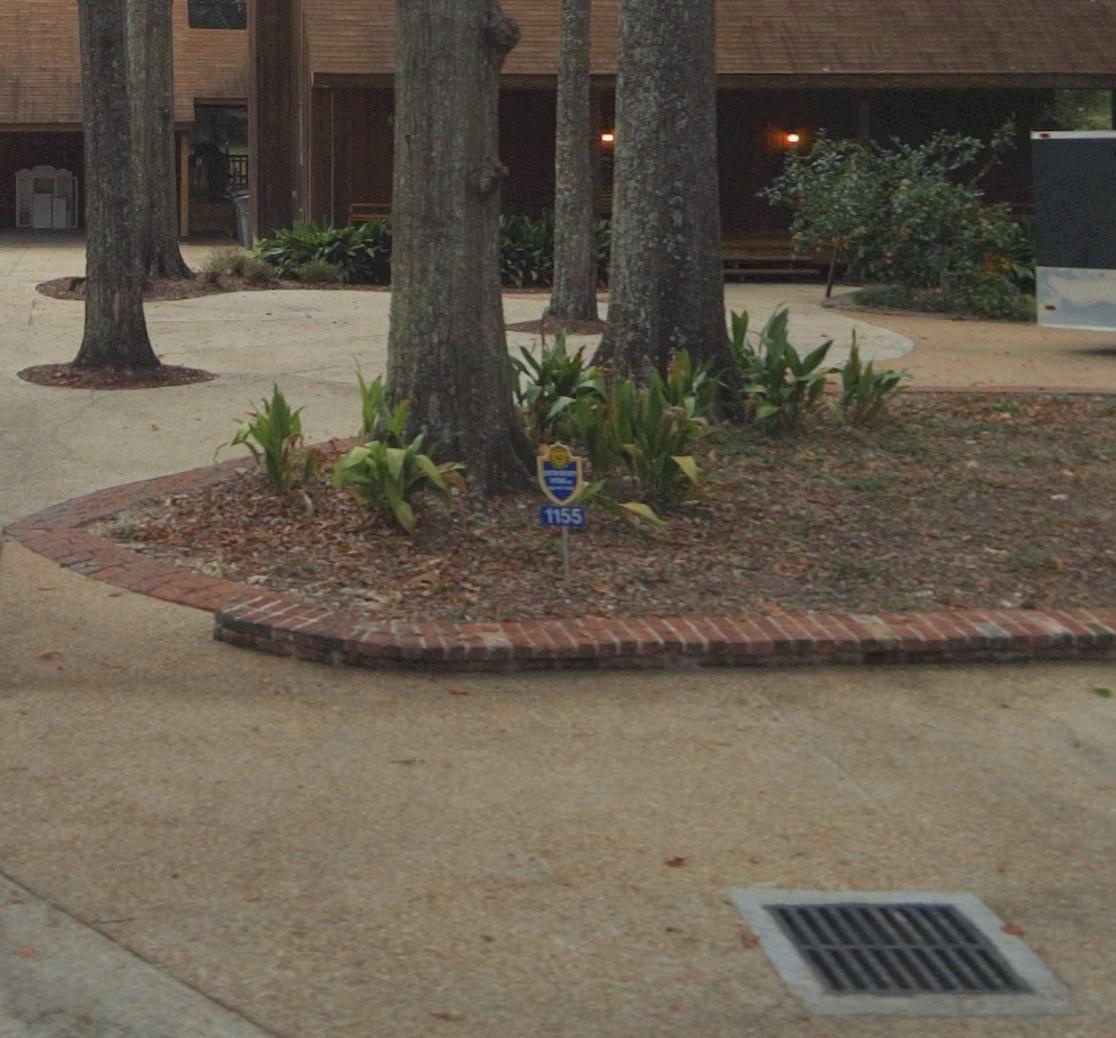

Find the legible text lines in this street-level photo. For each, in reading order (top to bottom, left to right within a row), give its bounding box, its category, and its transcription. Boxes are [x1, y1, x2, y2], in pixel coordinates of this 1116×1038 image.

[544, 507, 582, 525] StreetNumber: 1155